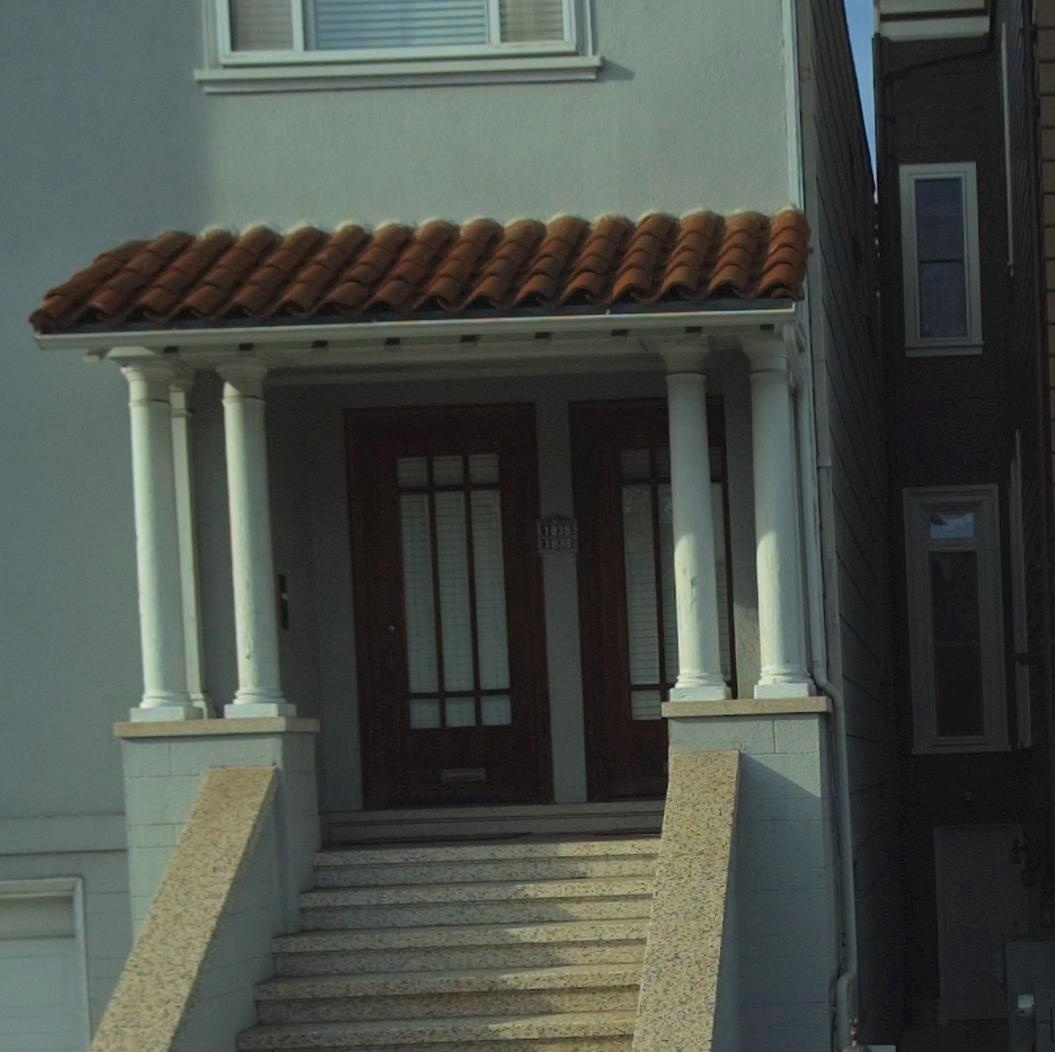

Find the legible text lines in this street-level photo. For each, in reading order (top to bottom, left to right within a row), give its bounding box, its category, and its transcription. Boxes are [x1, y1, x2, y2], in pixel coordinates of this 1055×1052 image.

[542, 523, 574, 538] StreetNumber: 183*
[542, 537, 575, 551] StreetNumber: 183*